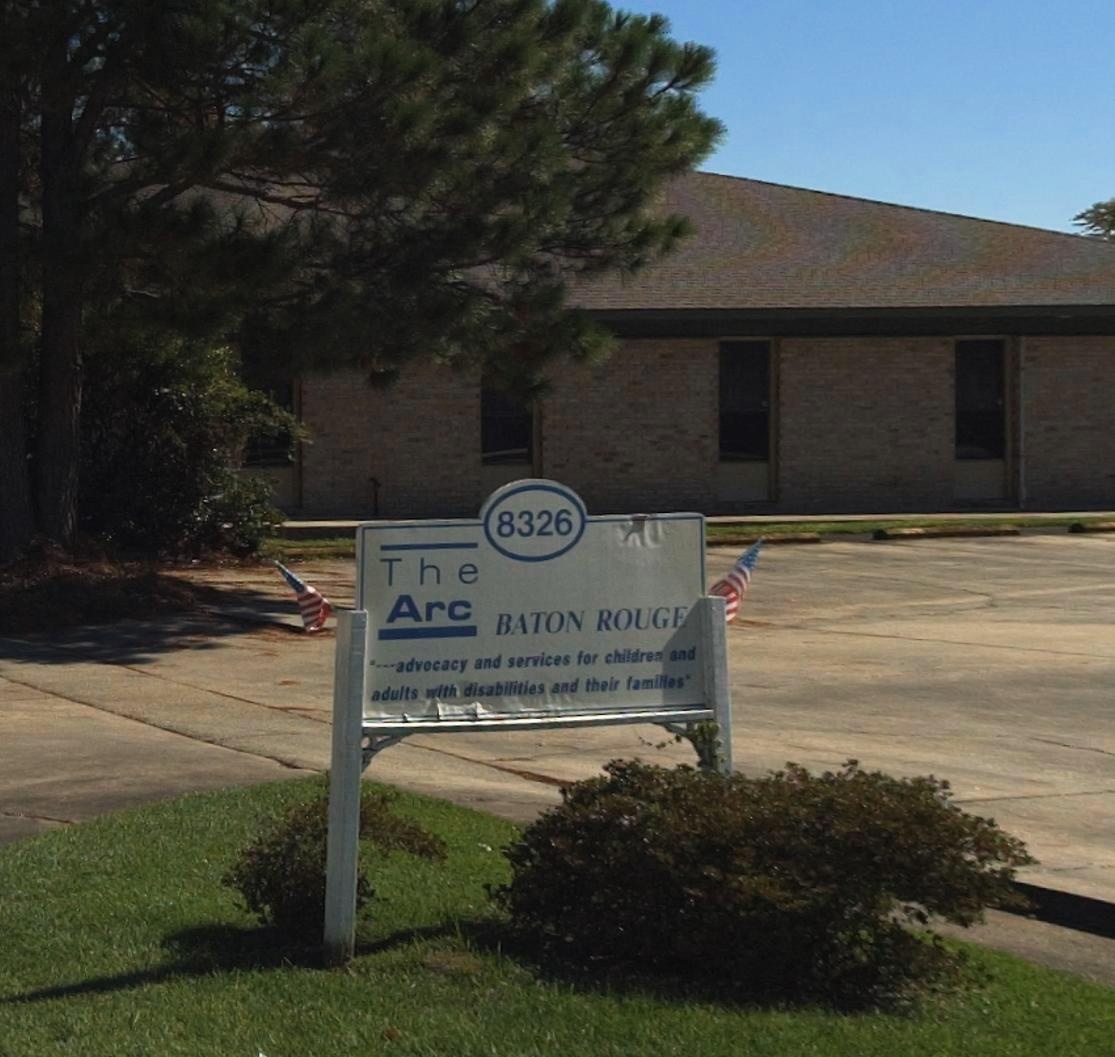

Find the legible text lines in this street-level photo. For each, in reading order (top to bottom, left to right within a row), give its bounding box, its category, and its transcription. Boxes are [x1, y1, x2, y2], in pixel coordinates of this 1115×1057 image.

[494, 506, 576, 541] StreetNumber: 8326
[375, 551, 485, 590] BusinessName: The
[379, 591, 477, 629] BusinessName: Arc
[491, 602, 695, 641] None: BATON ROUGE
[391, 642, 704, 676] None: advocacy and servies for children and
[366, 671, 690, 705] None: adults with disabilities and their families